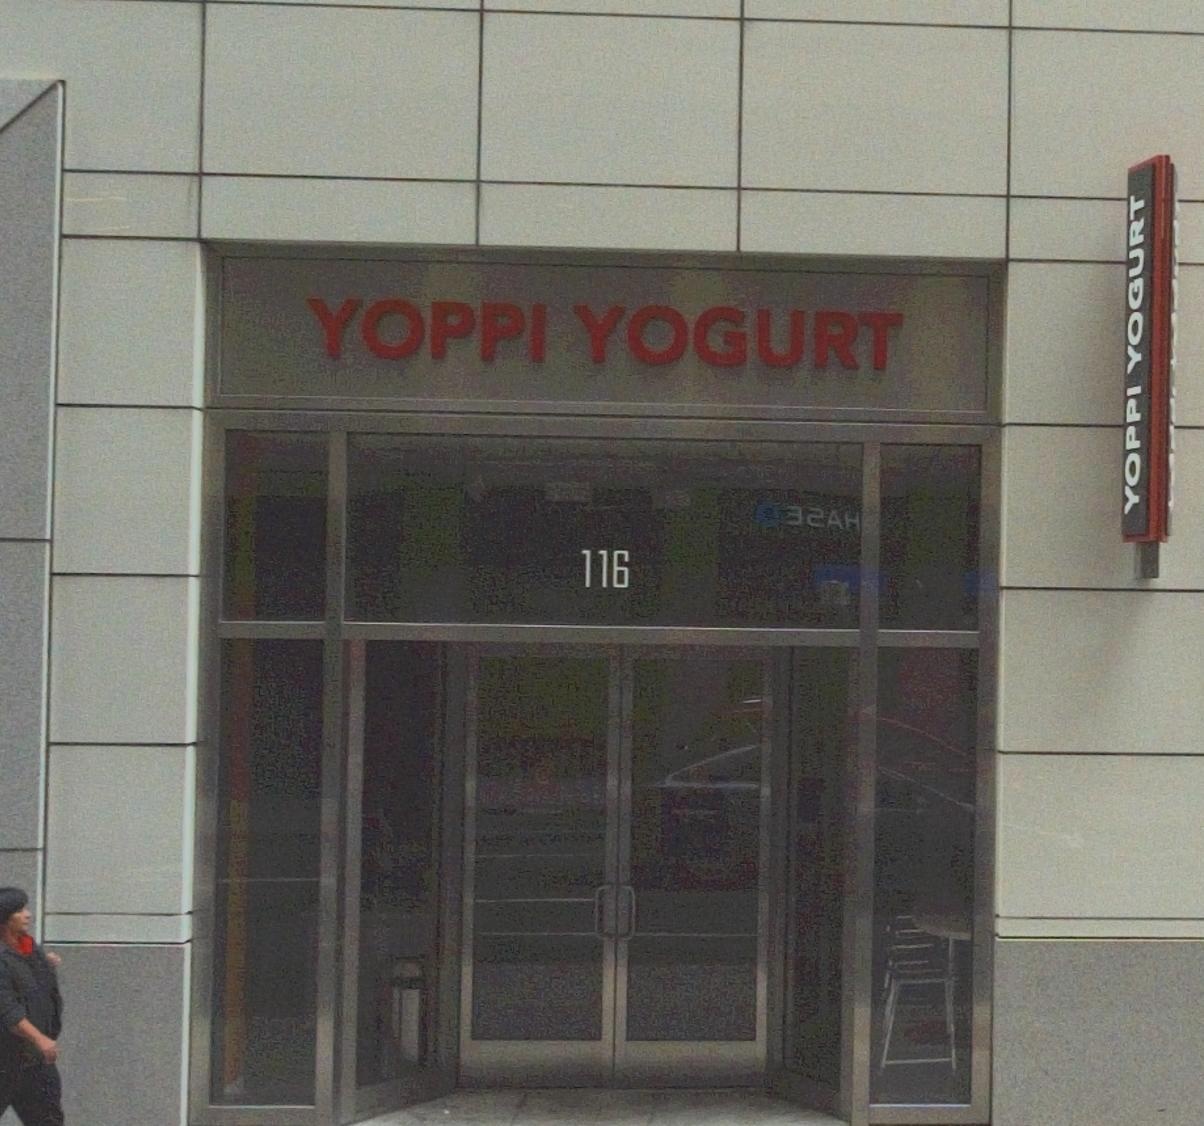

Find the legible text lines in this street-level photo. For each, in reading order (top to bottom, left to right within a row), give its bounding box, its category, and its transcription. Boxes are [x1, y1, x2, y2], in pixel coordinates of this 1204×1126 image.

[305, 296, 906, 373] BusinessName: YOPPI YOGURT
[1123, 194, 1145, 518] BusinessName: YOPPI YOGURT
[784, 503, 862, 535] None: **AH
[580, 547, 631, 590] StreetNumber: 116